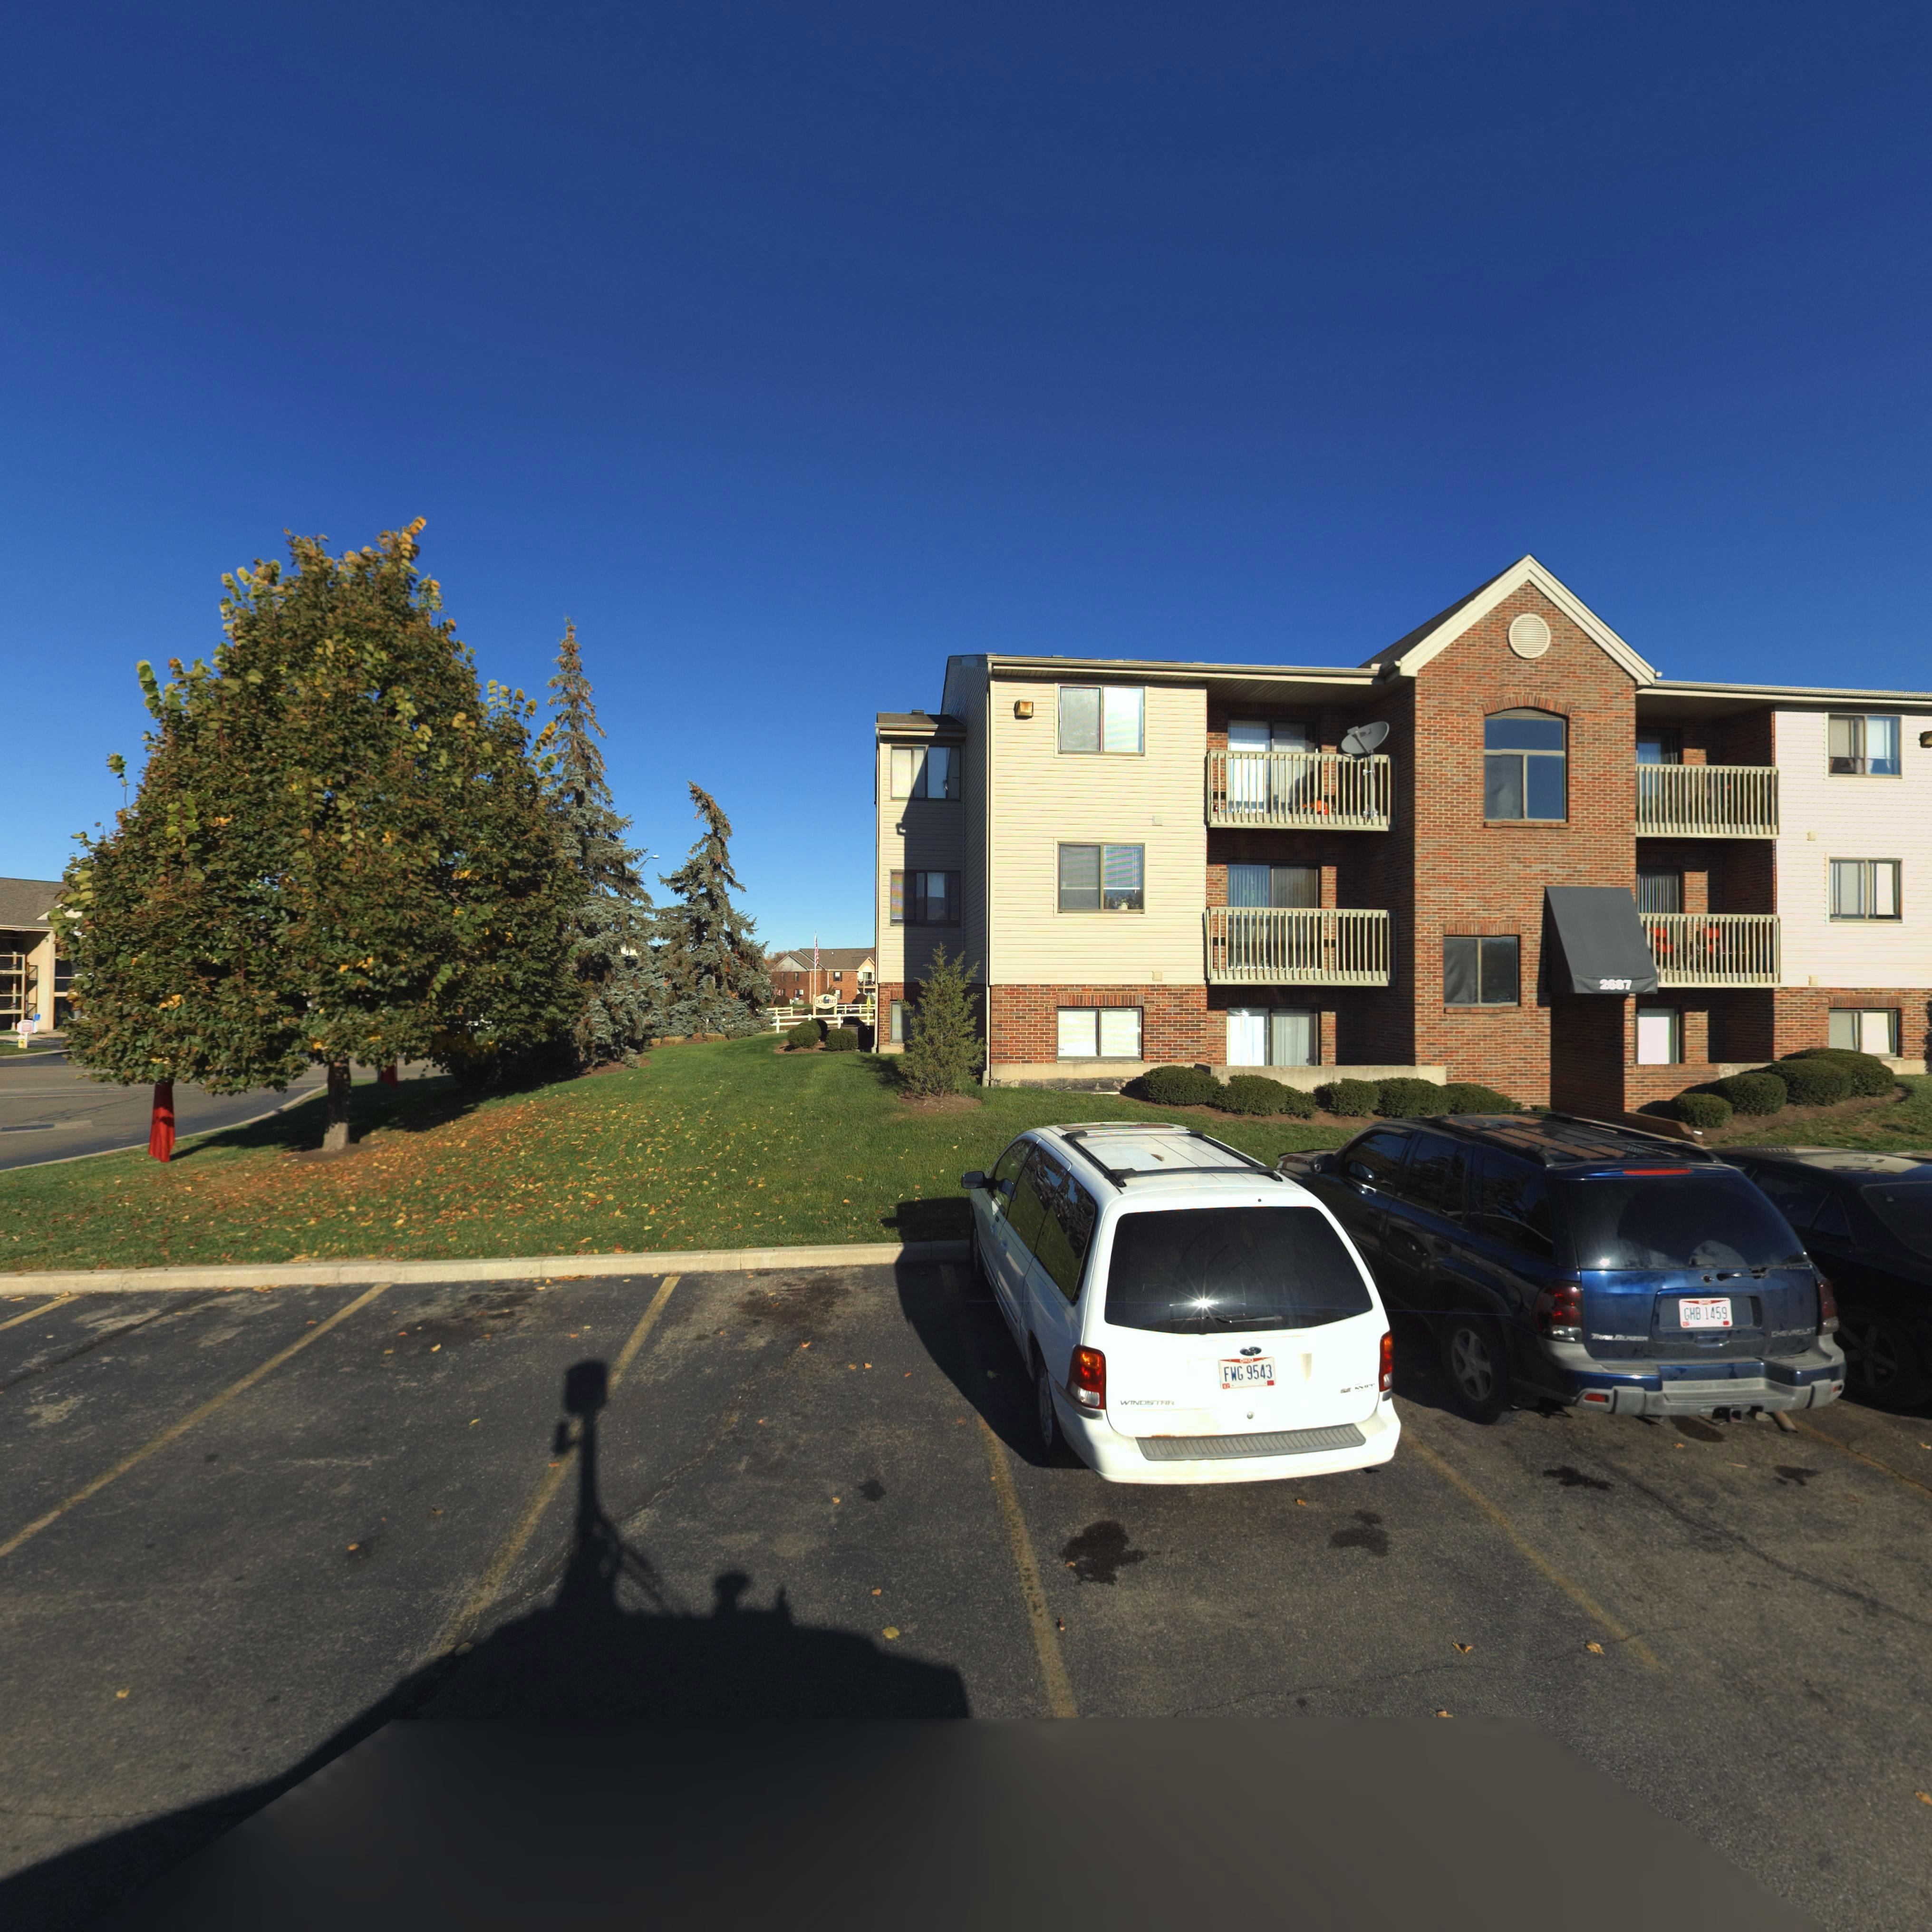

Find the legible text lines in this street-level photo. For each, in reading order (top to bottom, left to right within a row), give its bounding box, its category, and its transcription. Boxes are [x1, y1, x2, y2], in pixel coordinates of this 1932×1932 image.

[1598, 978, 1633, 991] StreetNumber: 2**7